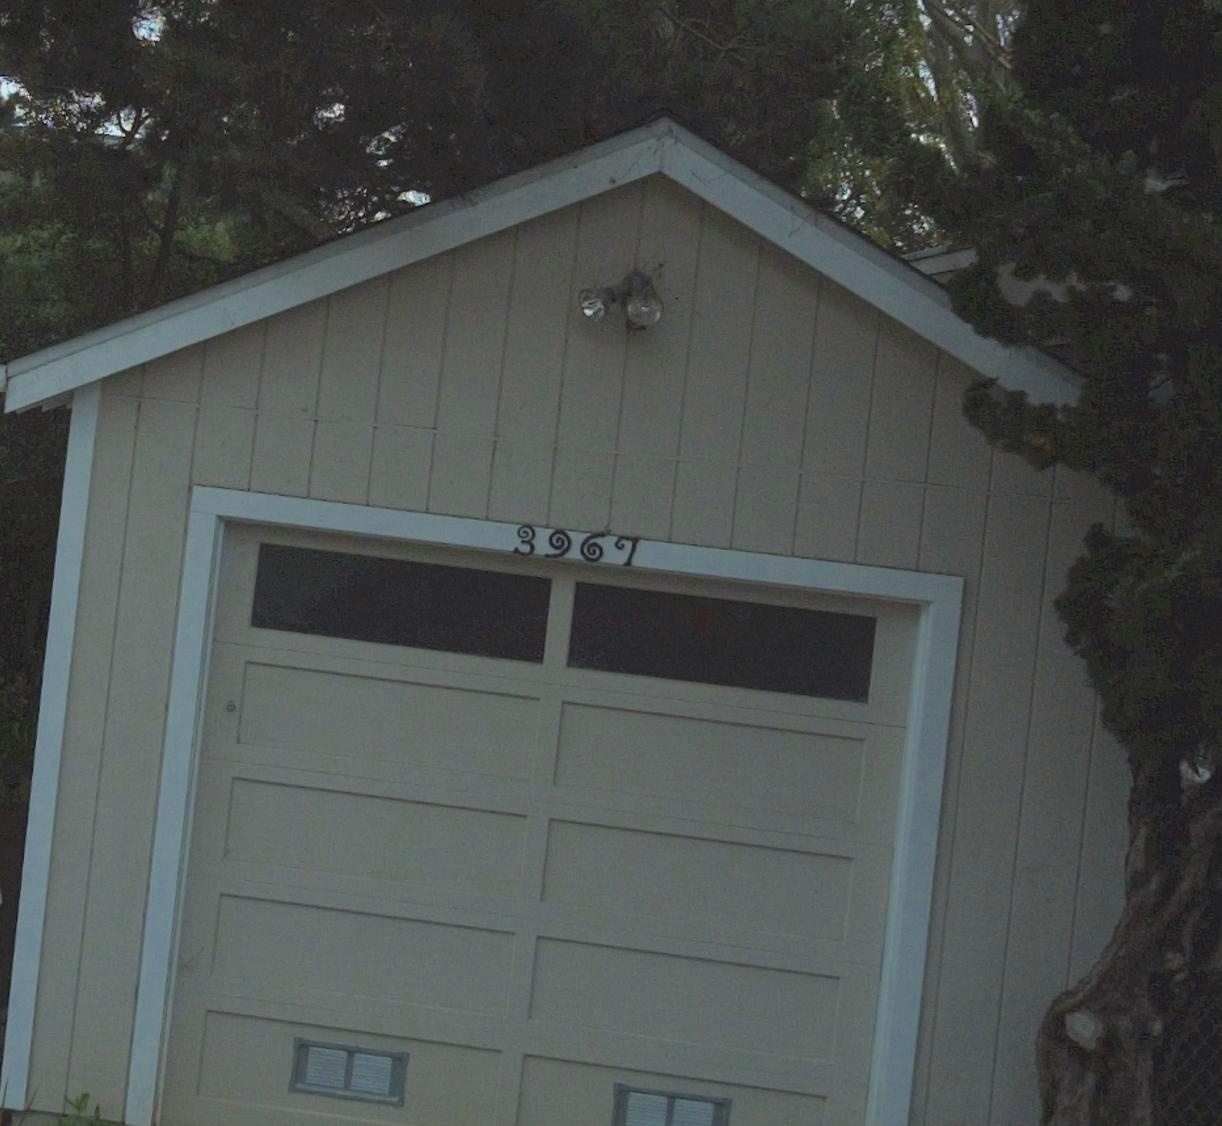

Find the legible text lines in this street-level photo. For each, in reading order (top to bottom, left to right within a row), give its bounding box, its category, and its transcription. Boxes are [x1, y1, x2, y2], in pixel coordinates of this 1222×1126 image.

[511, 522, 641, 568] StreetNumber: 3967